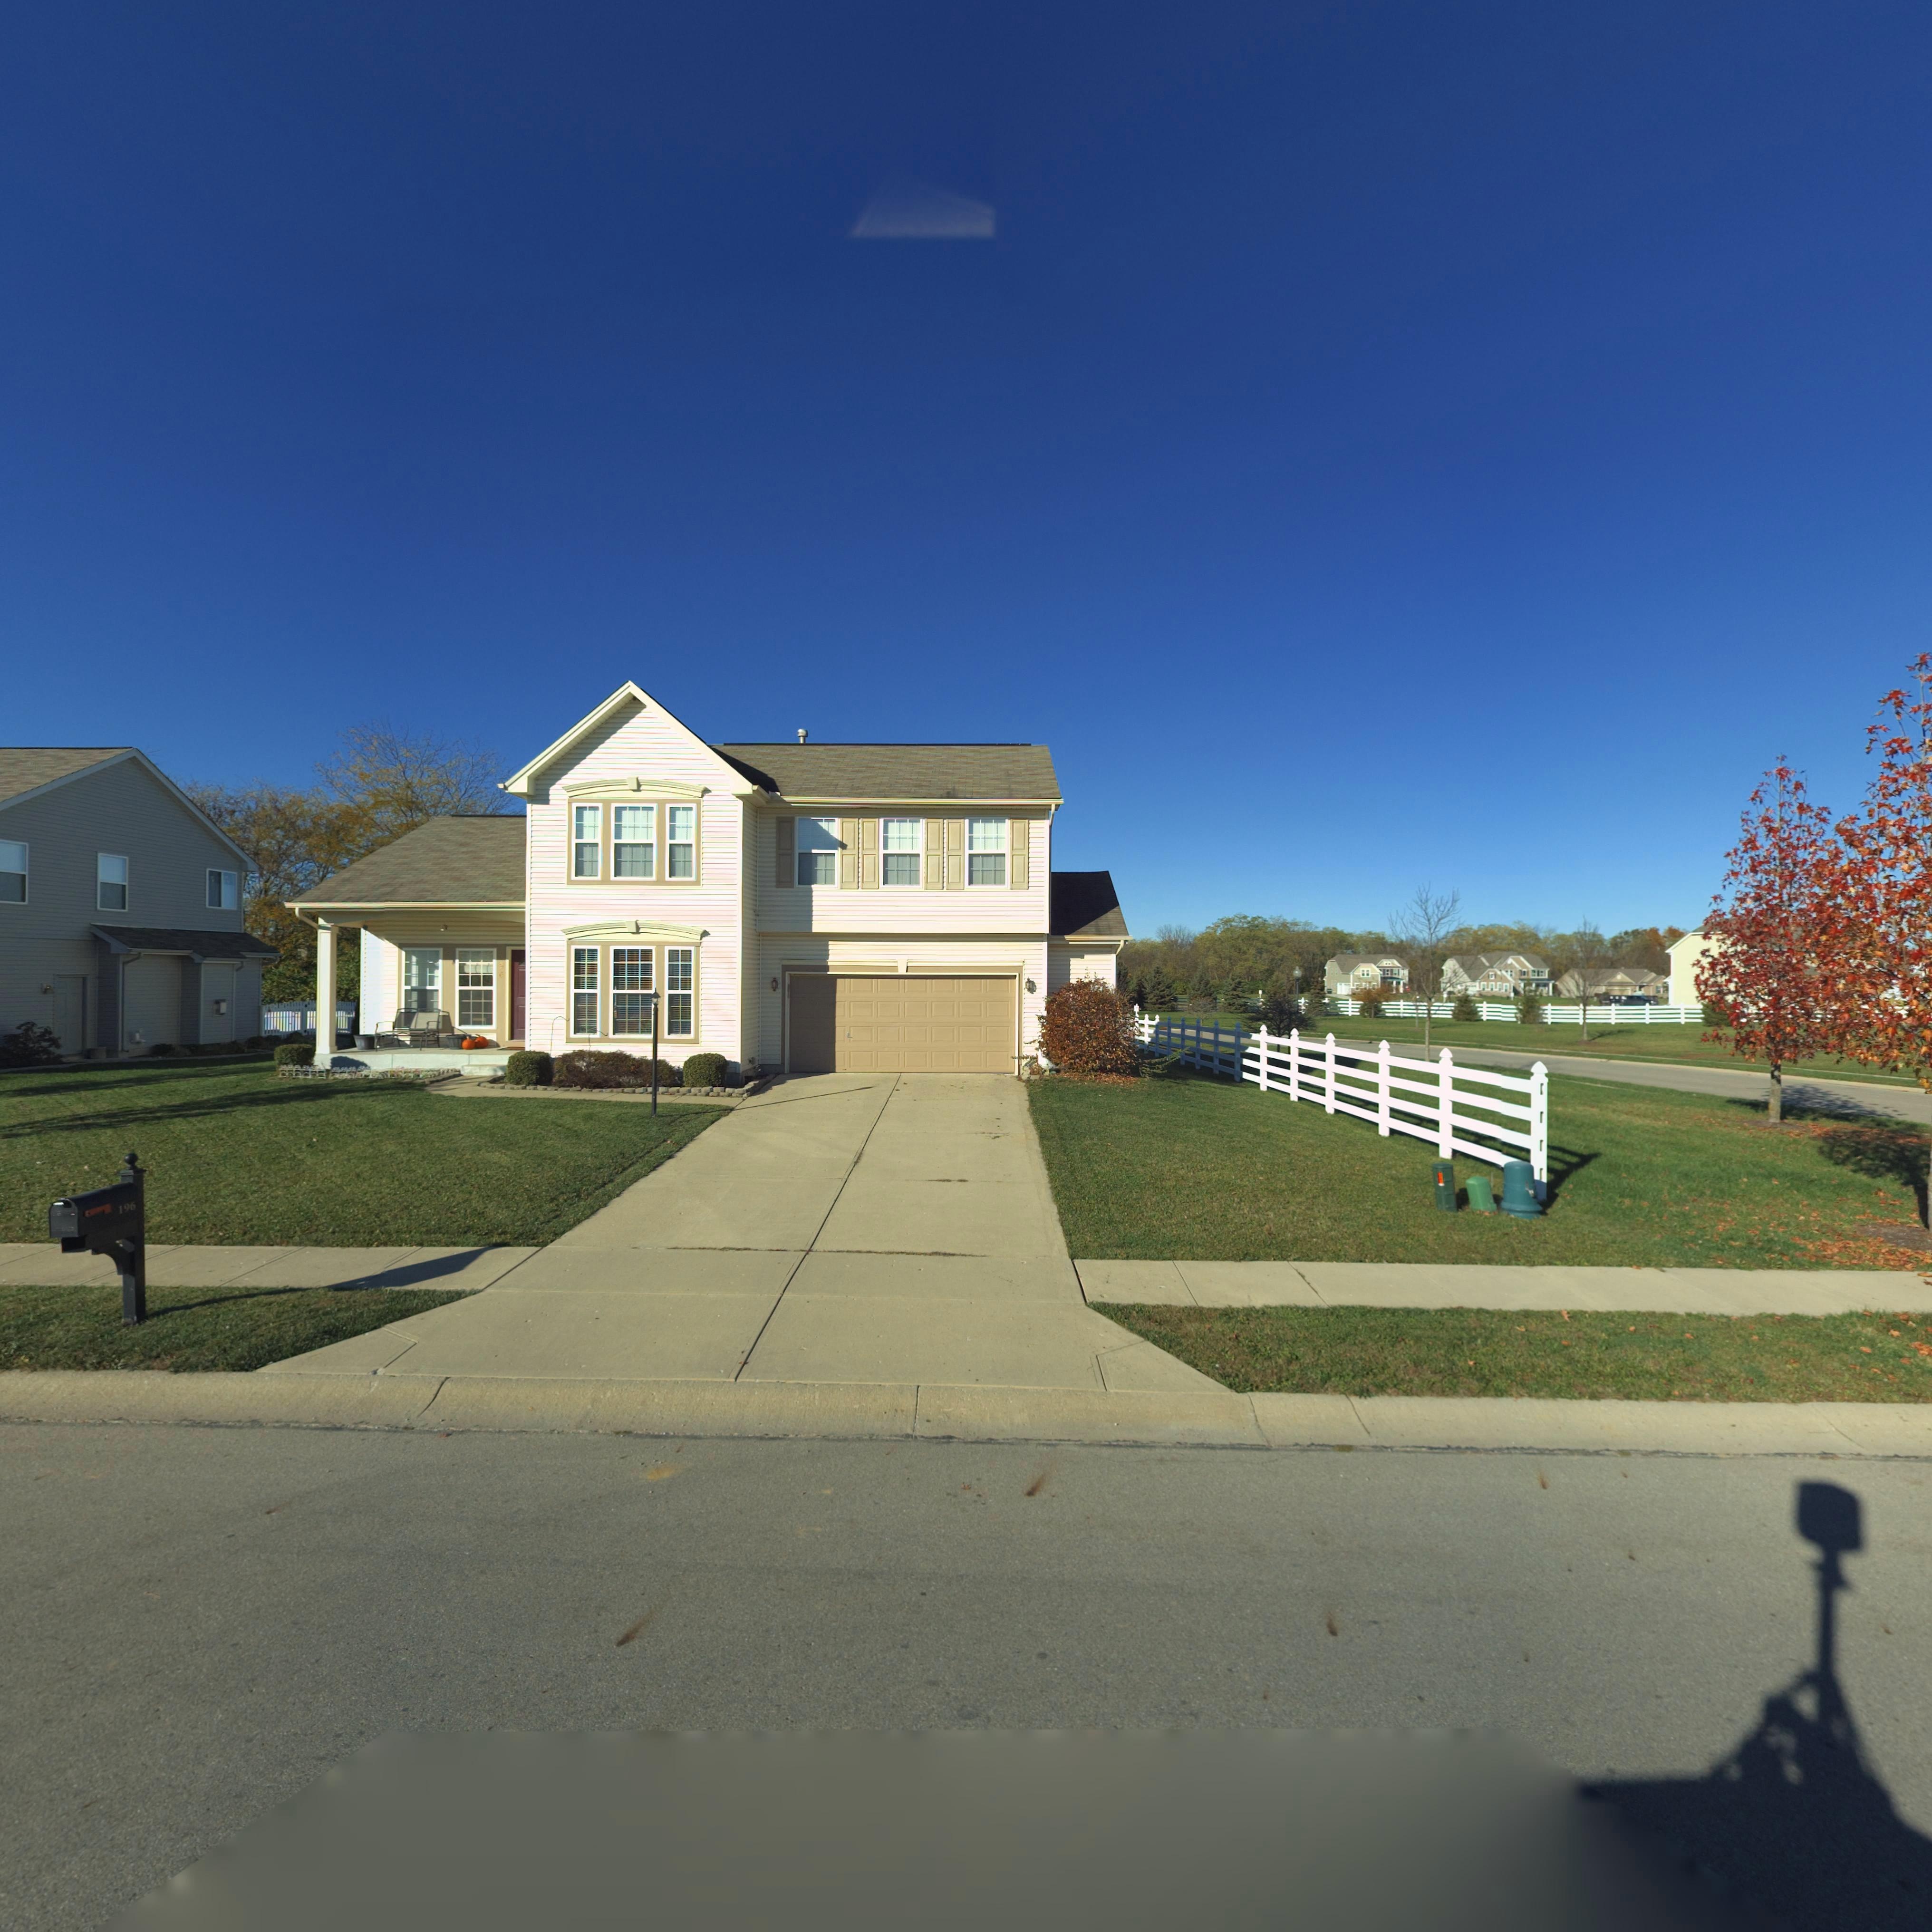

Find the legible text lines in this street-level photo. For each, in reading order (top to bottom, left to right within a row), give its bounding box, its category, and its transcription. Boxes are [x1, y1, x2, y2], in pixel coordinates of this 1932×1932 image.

[498, 952, 505, 979] StreetNumber: **6
[117, 1198, 137, 1216] StreetNumber: 196